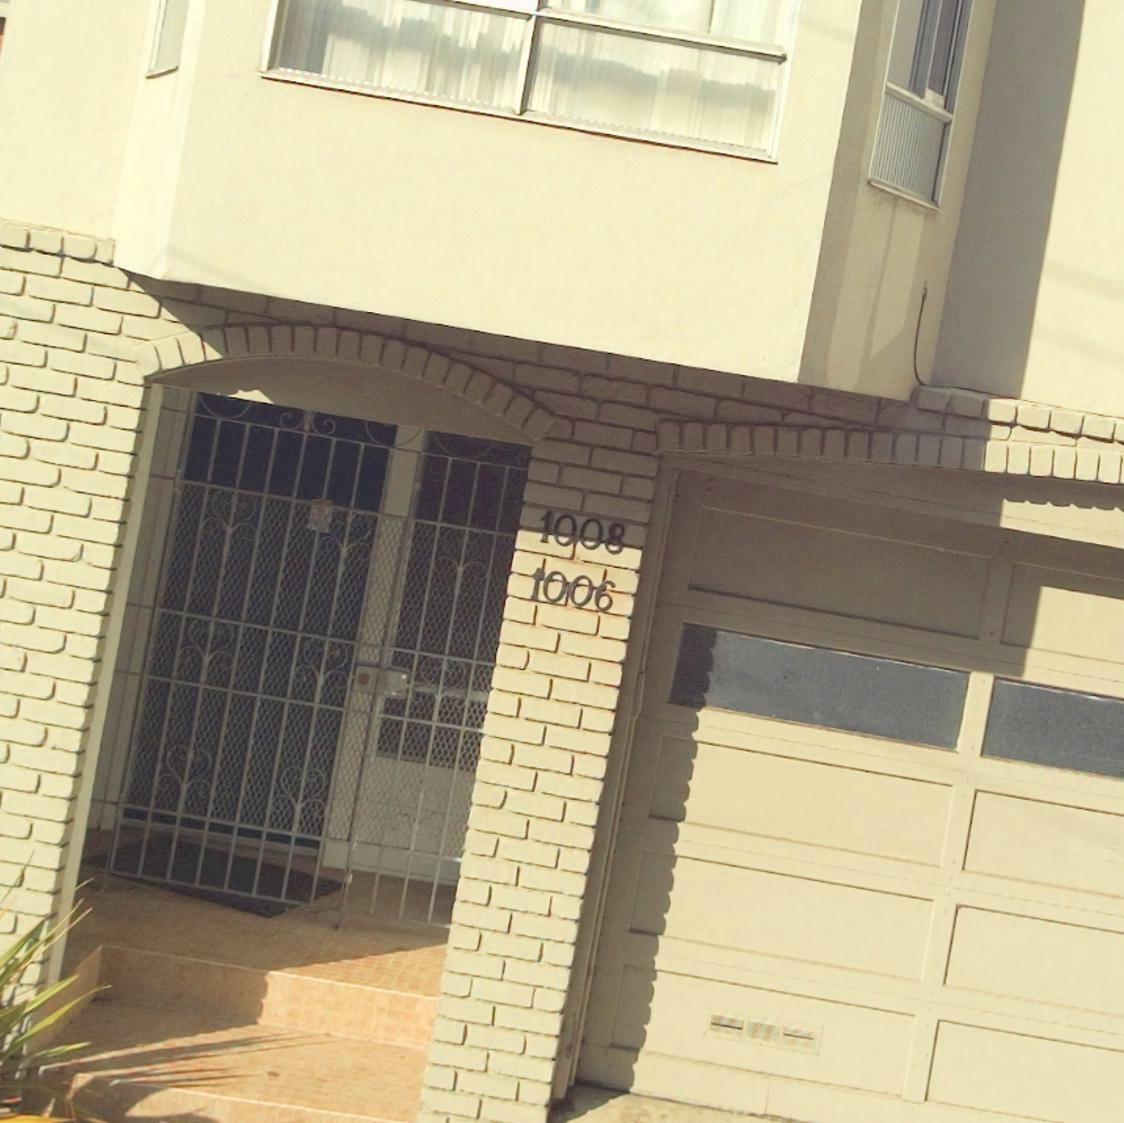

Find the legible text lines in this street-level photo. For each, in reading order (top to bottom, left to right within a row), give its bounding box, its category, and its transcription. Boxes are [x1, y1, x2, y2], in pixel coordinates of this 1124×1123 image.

[539, 508, 626, 557] StreetNumber: 1008
[529, 566, 618, 614] StreetNumber: 1006